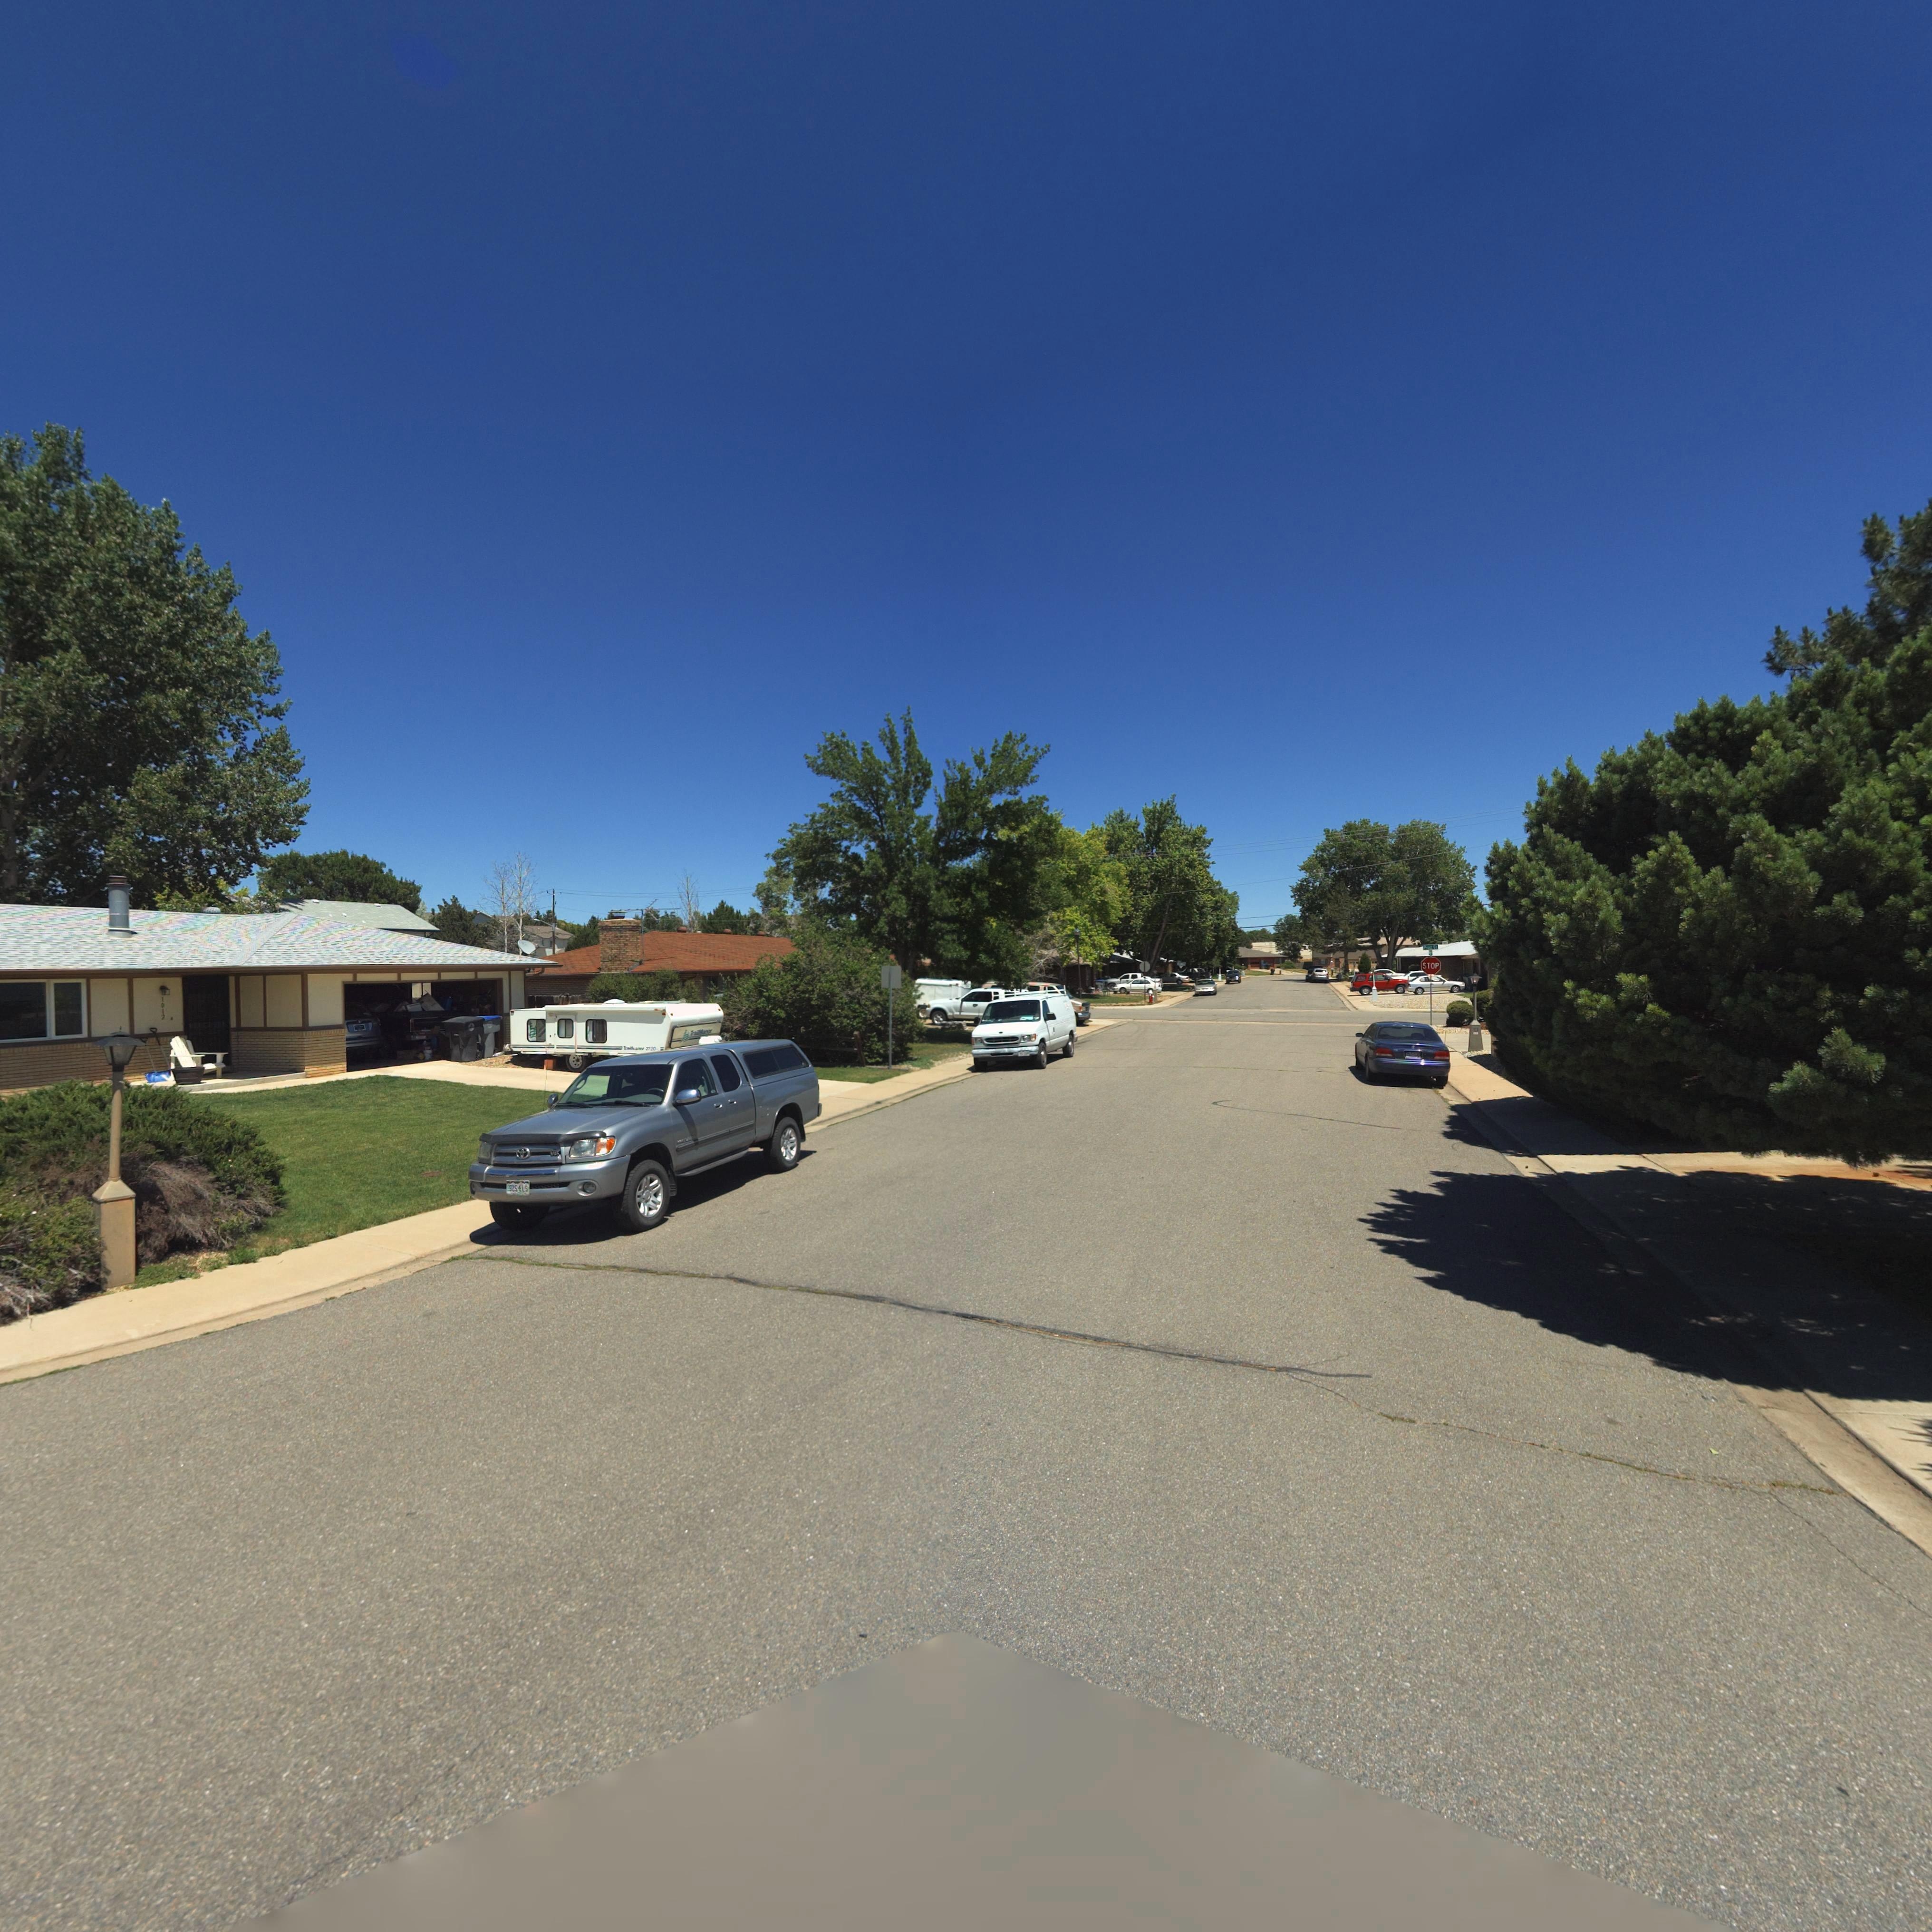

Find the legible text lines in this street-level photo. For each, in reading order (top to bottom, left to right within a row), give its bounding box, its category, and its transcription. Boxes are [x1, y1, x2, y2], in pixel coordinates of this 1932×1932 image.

[160, 996, 165, 1020] StreetNumber: 1012